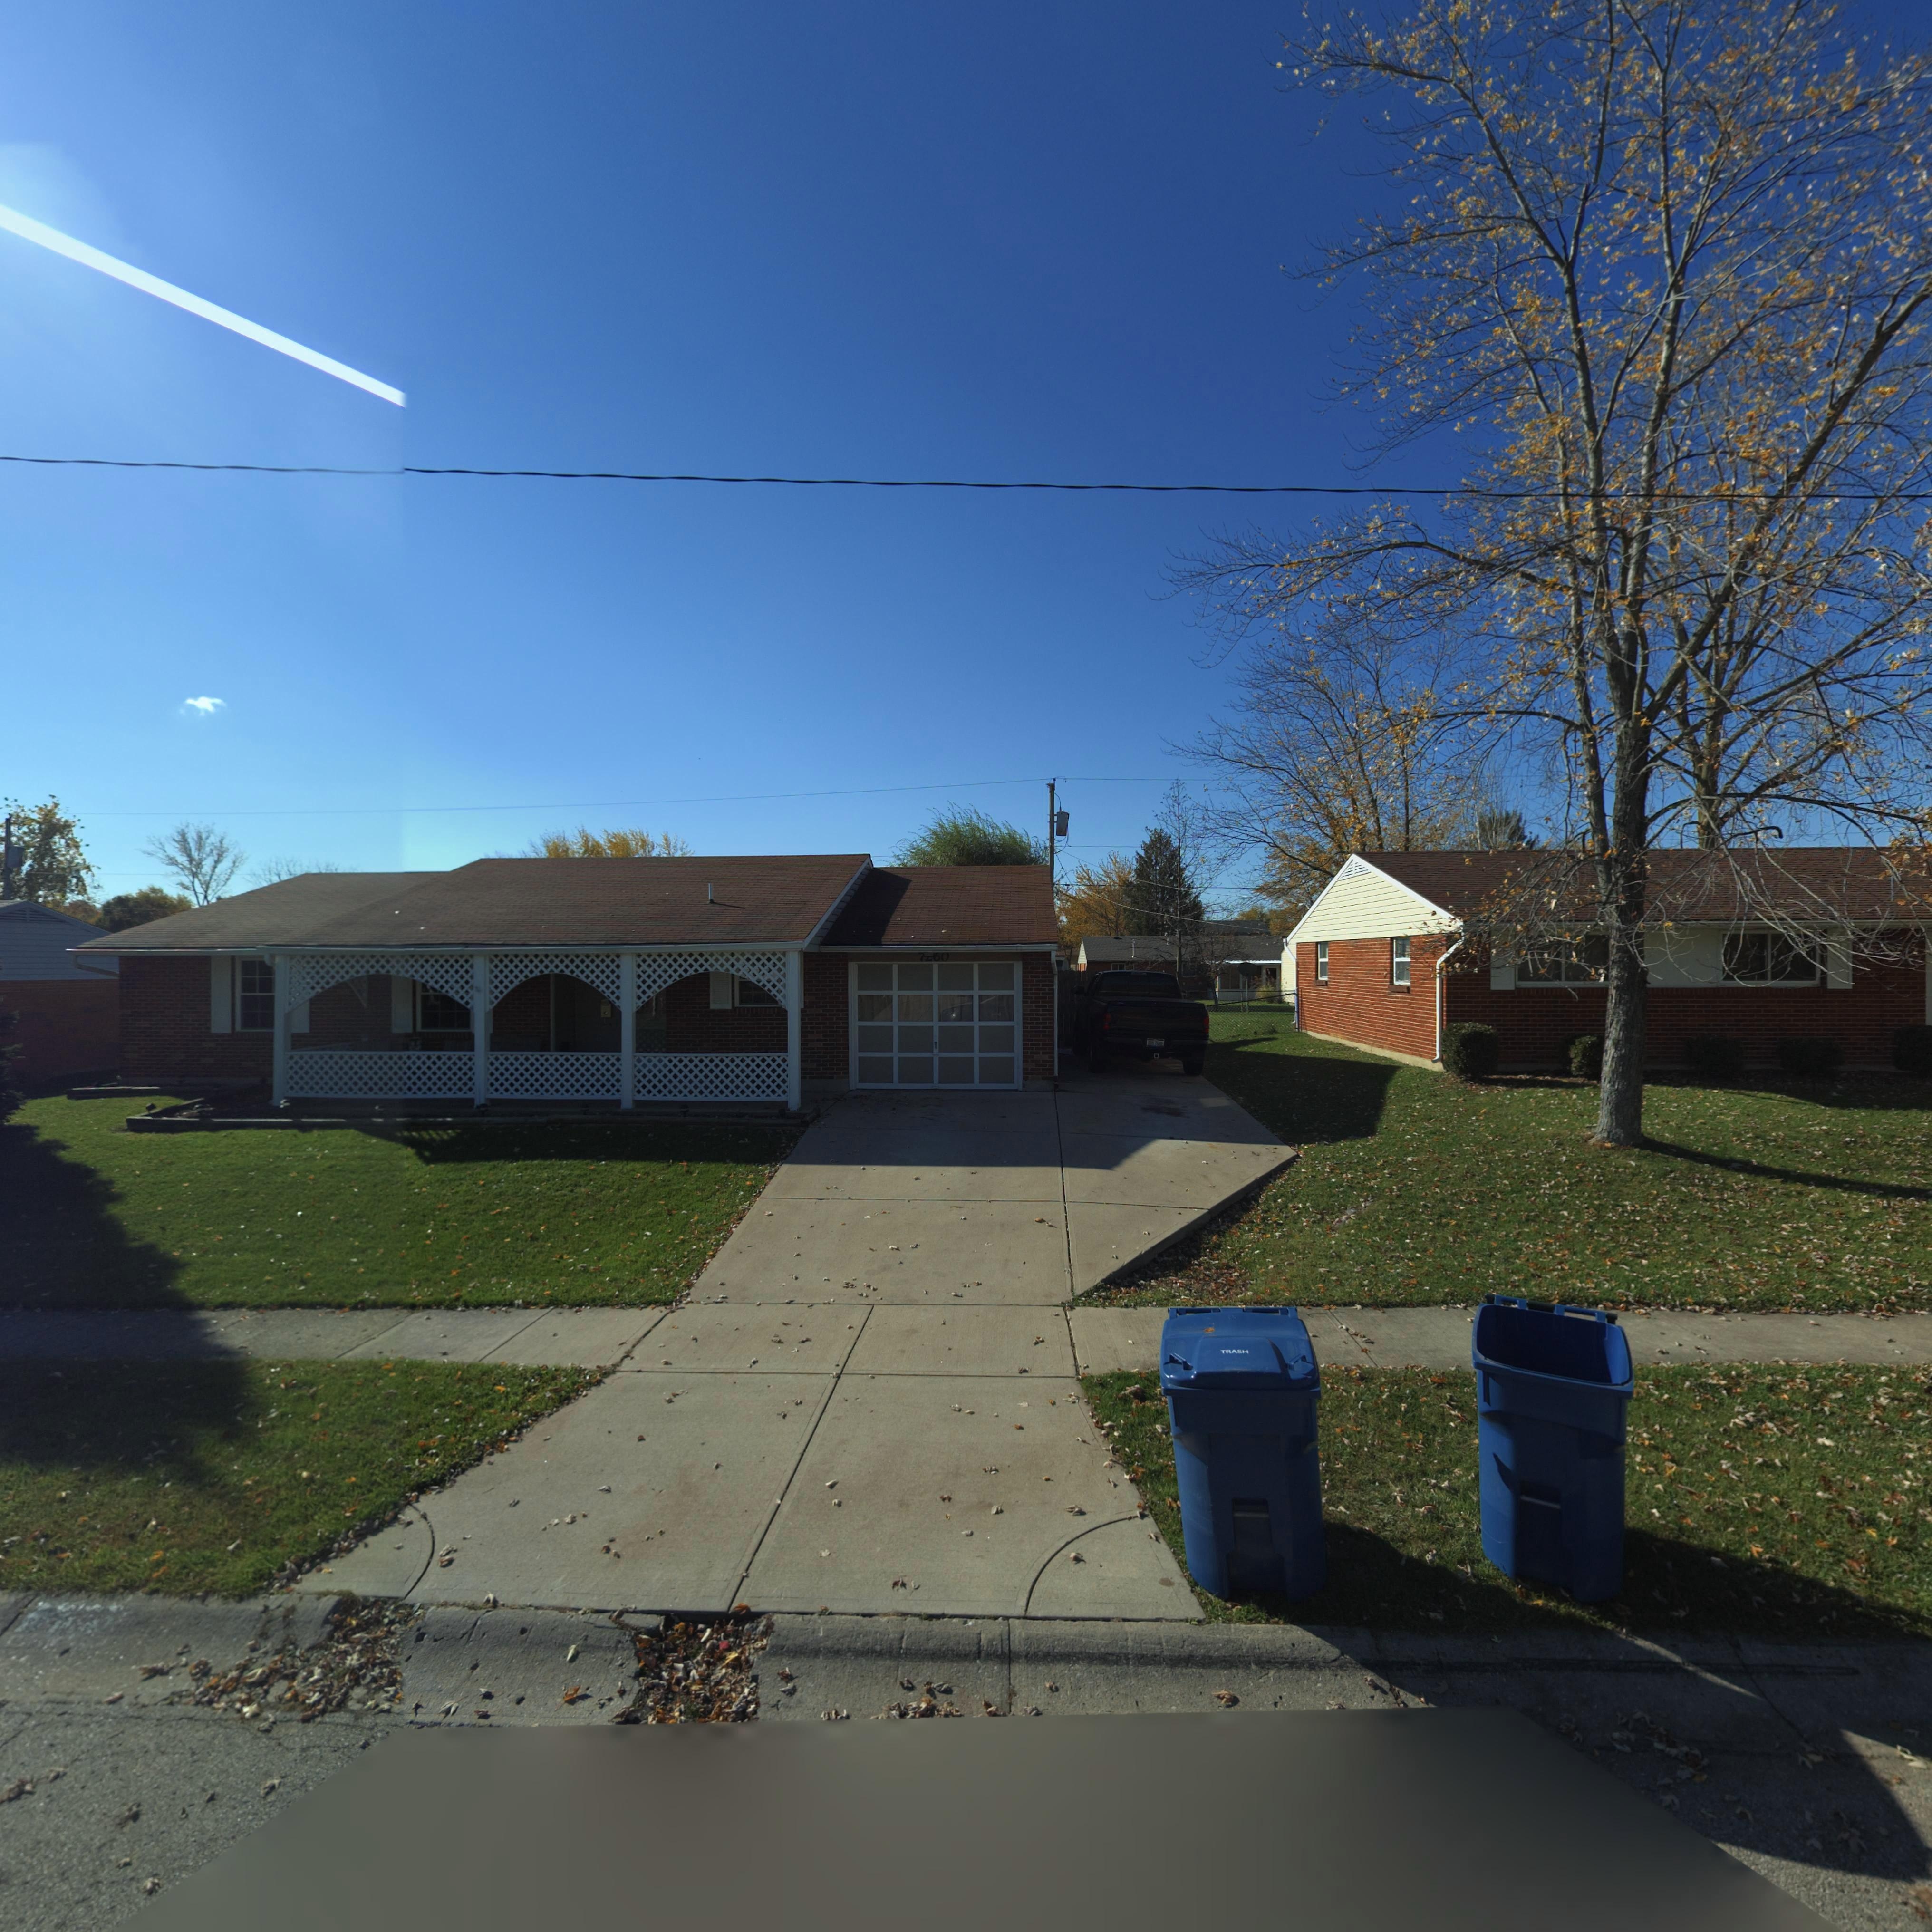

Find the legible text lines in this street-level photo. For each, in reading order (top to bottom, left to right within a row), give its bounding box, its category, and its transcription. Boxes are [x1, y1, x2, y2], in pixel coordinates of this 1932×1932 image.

[917, 951, 951, 963] StreetNumber: 7*60